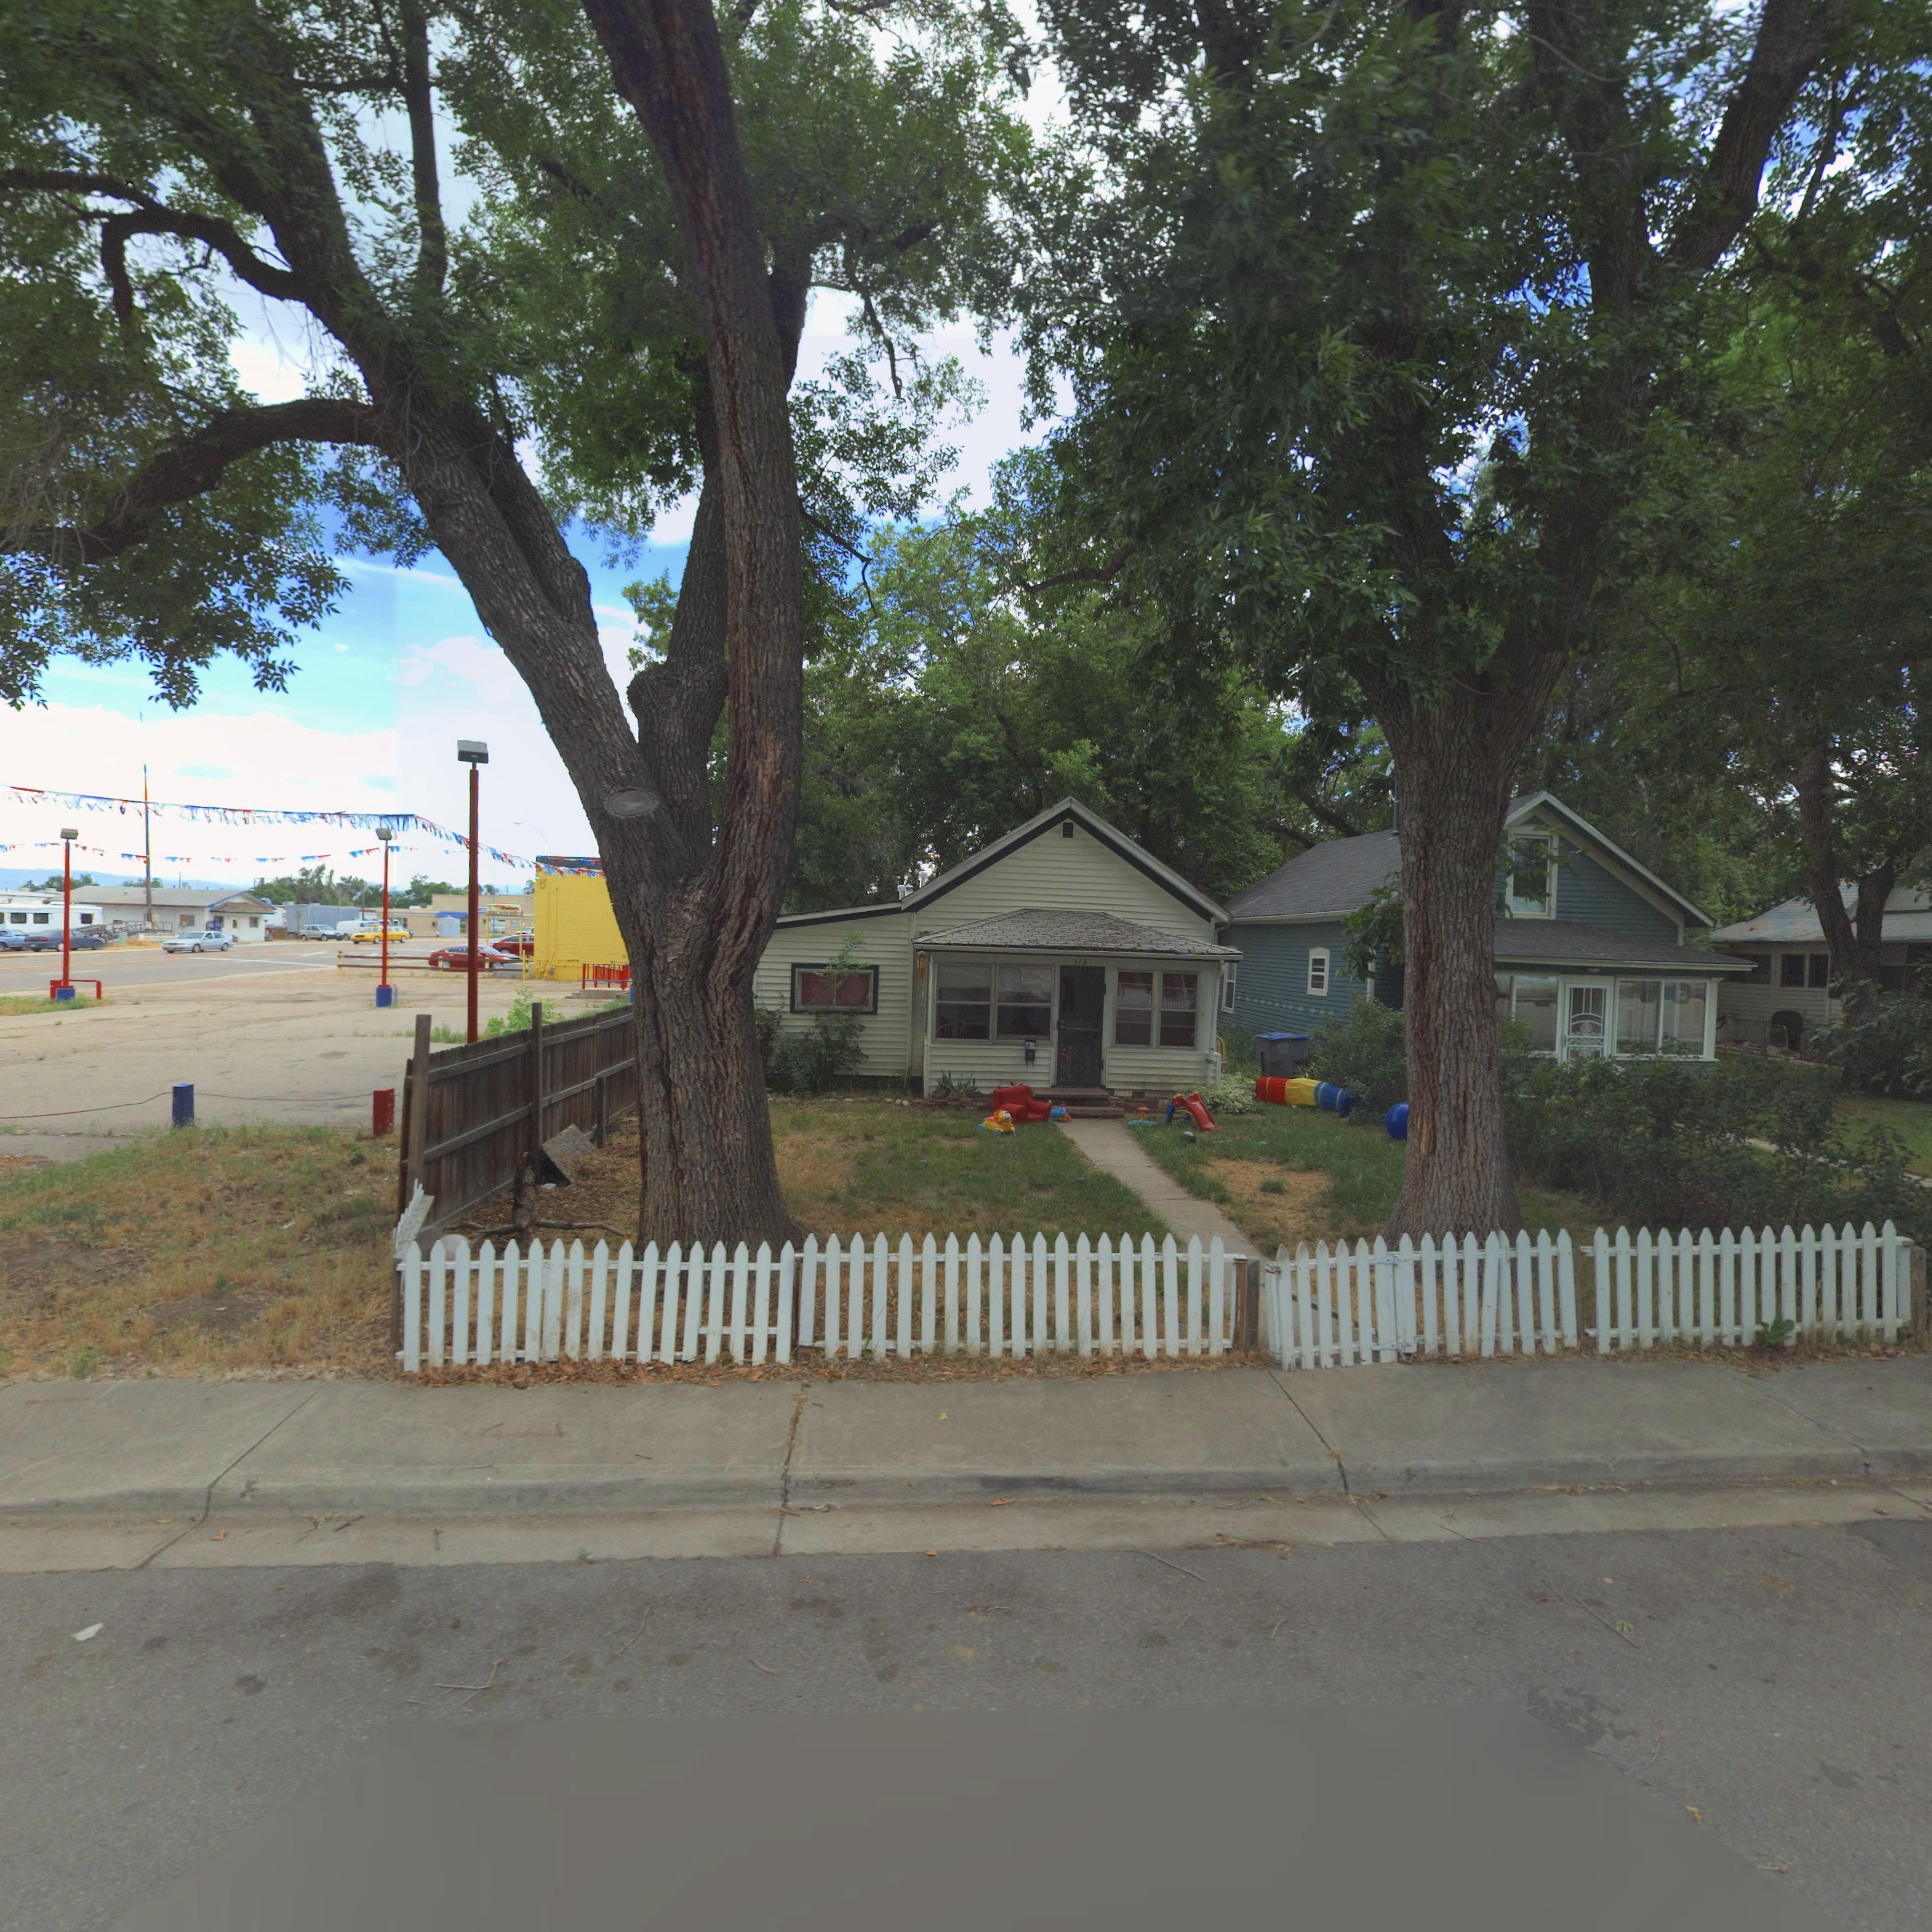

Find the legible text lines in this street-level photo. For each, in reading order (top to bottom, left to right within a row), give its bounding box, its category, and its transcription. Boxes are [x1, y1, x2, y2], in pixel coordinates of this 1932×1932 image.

[1073, 957, 1087, 966] StreetNumber: 313